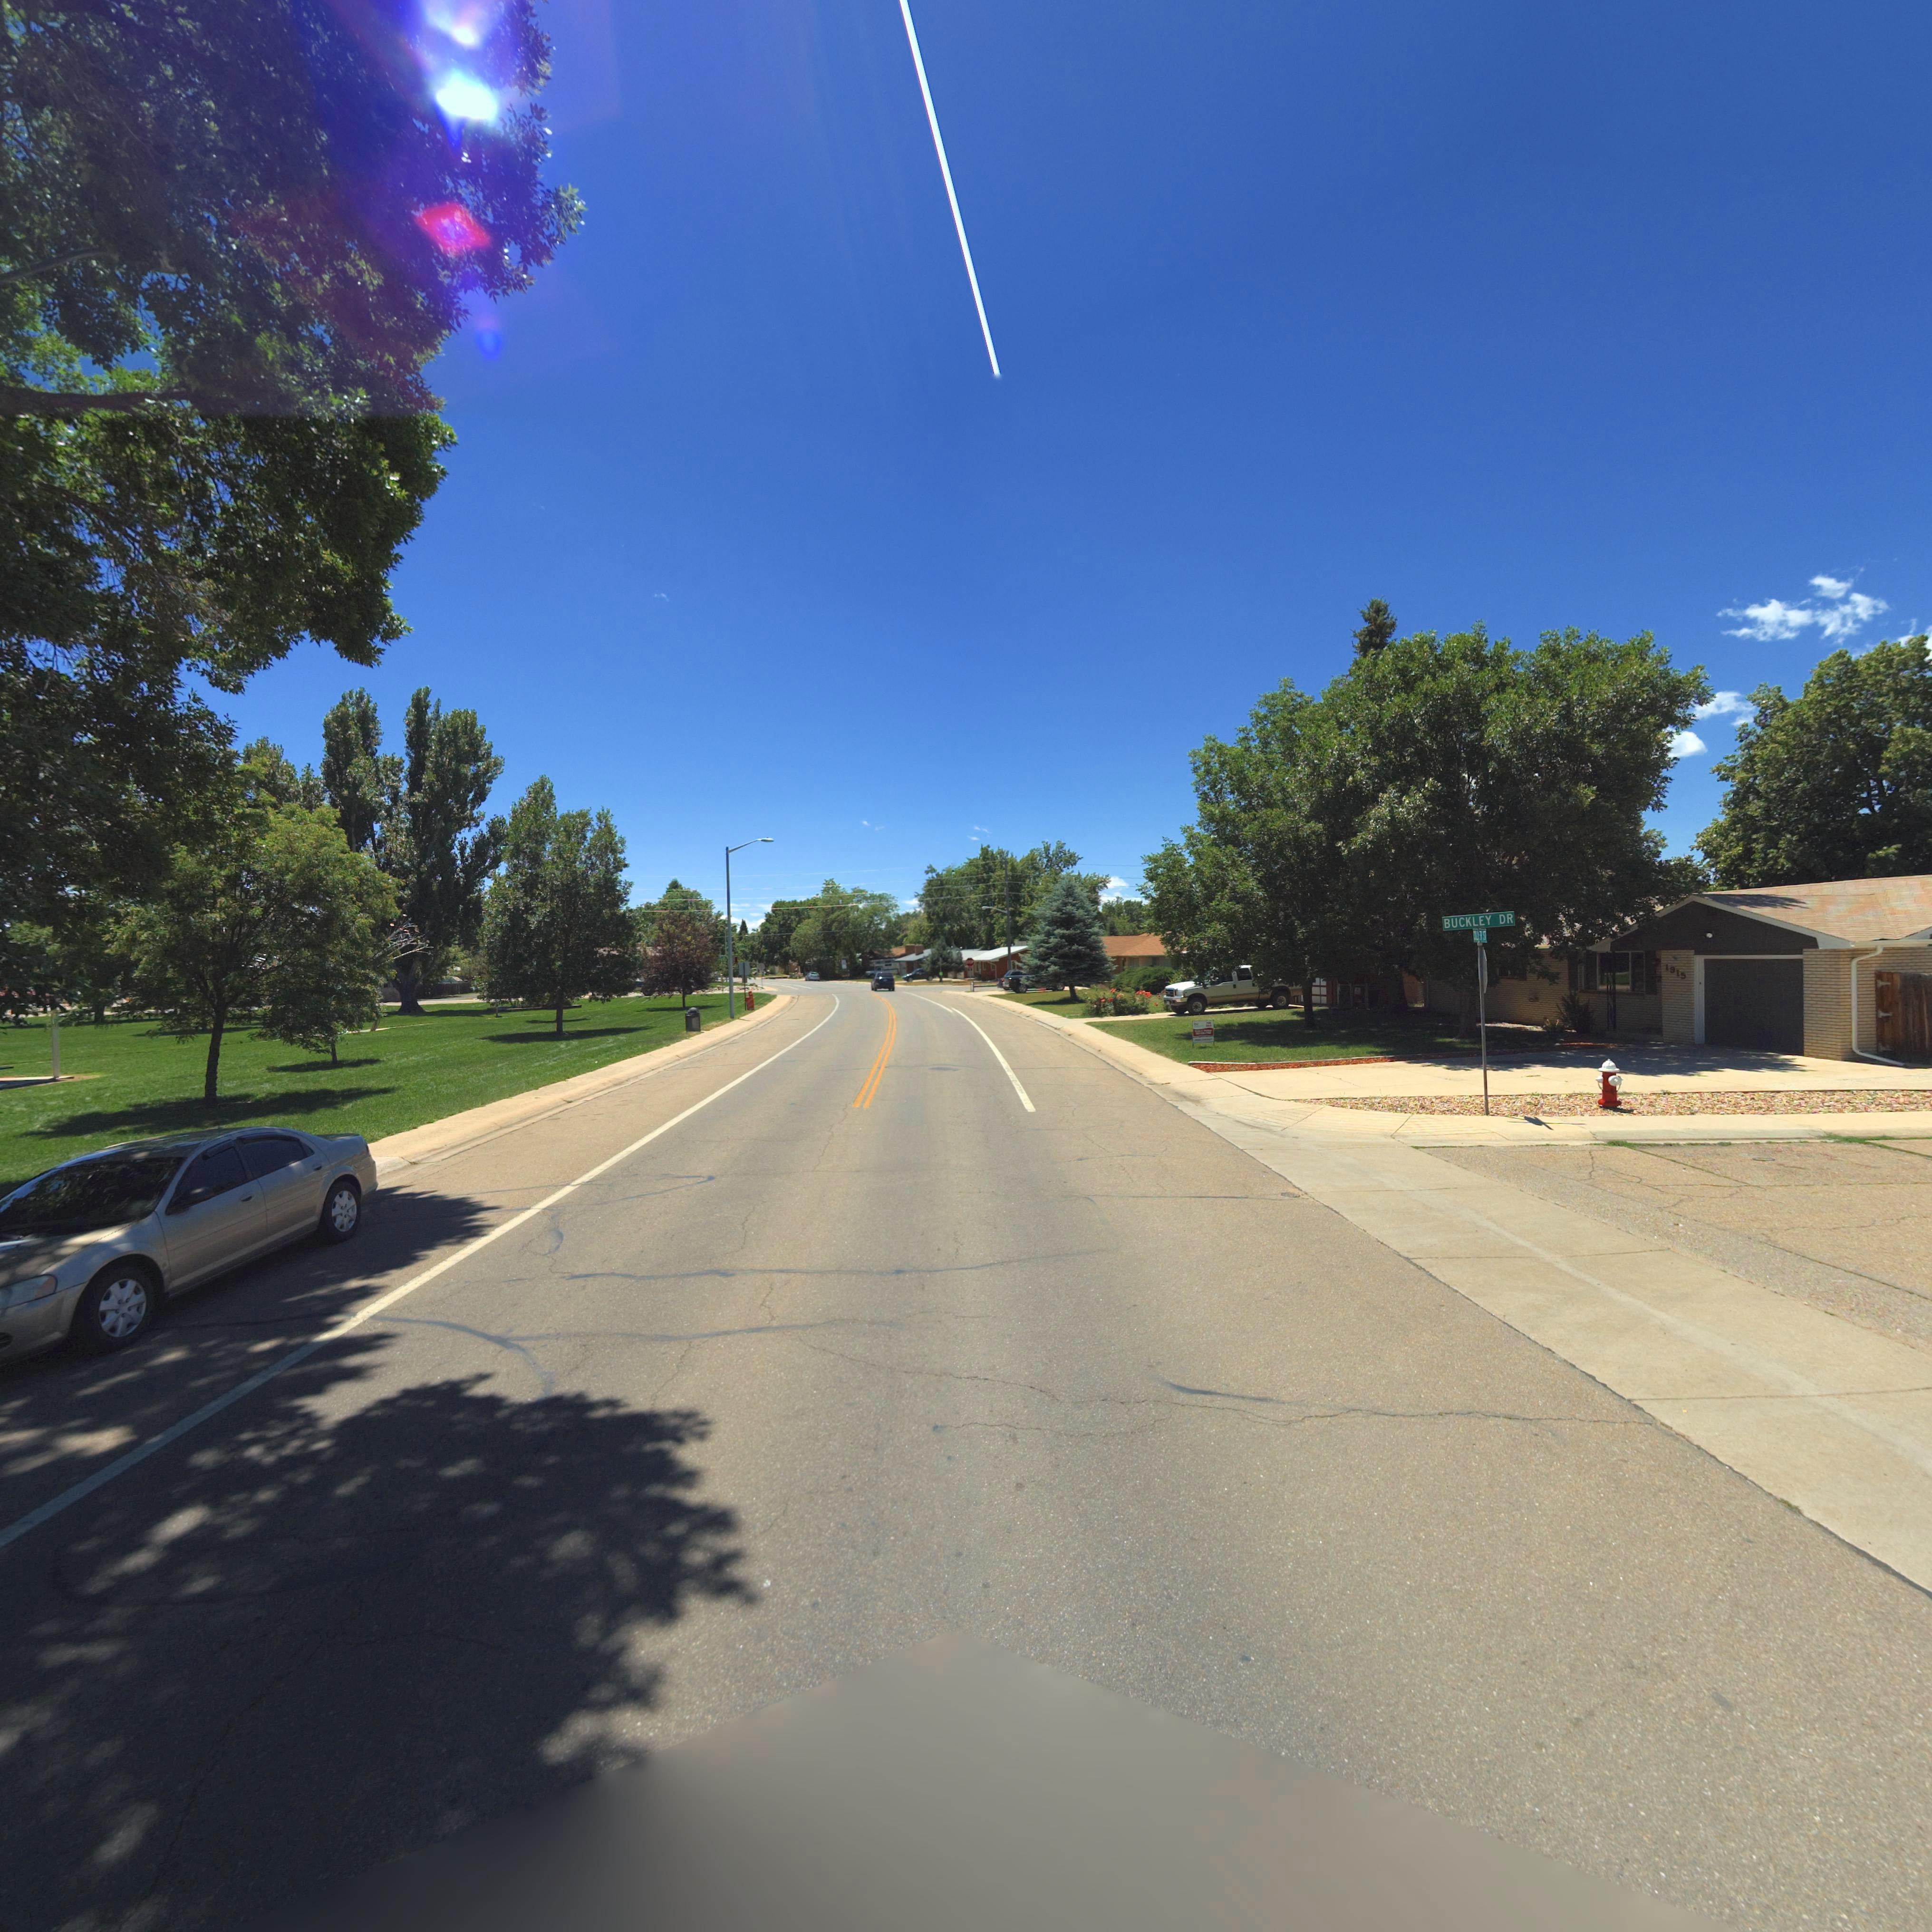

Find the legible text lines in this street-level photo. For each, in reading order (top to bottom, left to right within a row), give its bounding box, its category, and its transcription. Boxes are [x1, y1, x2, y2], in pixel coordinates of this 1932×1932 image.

[1443, 913, 1513, 928] StreetName: BUCKLEY DR
[1473, 930, 1486, 940] StreetName: ******* S*
[1665, 963, 1686, 980] StreetNumber: 1915